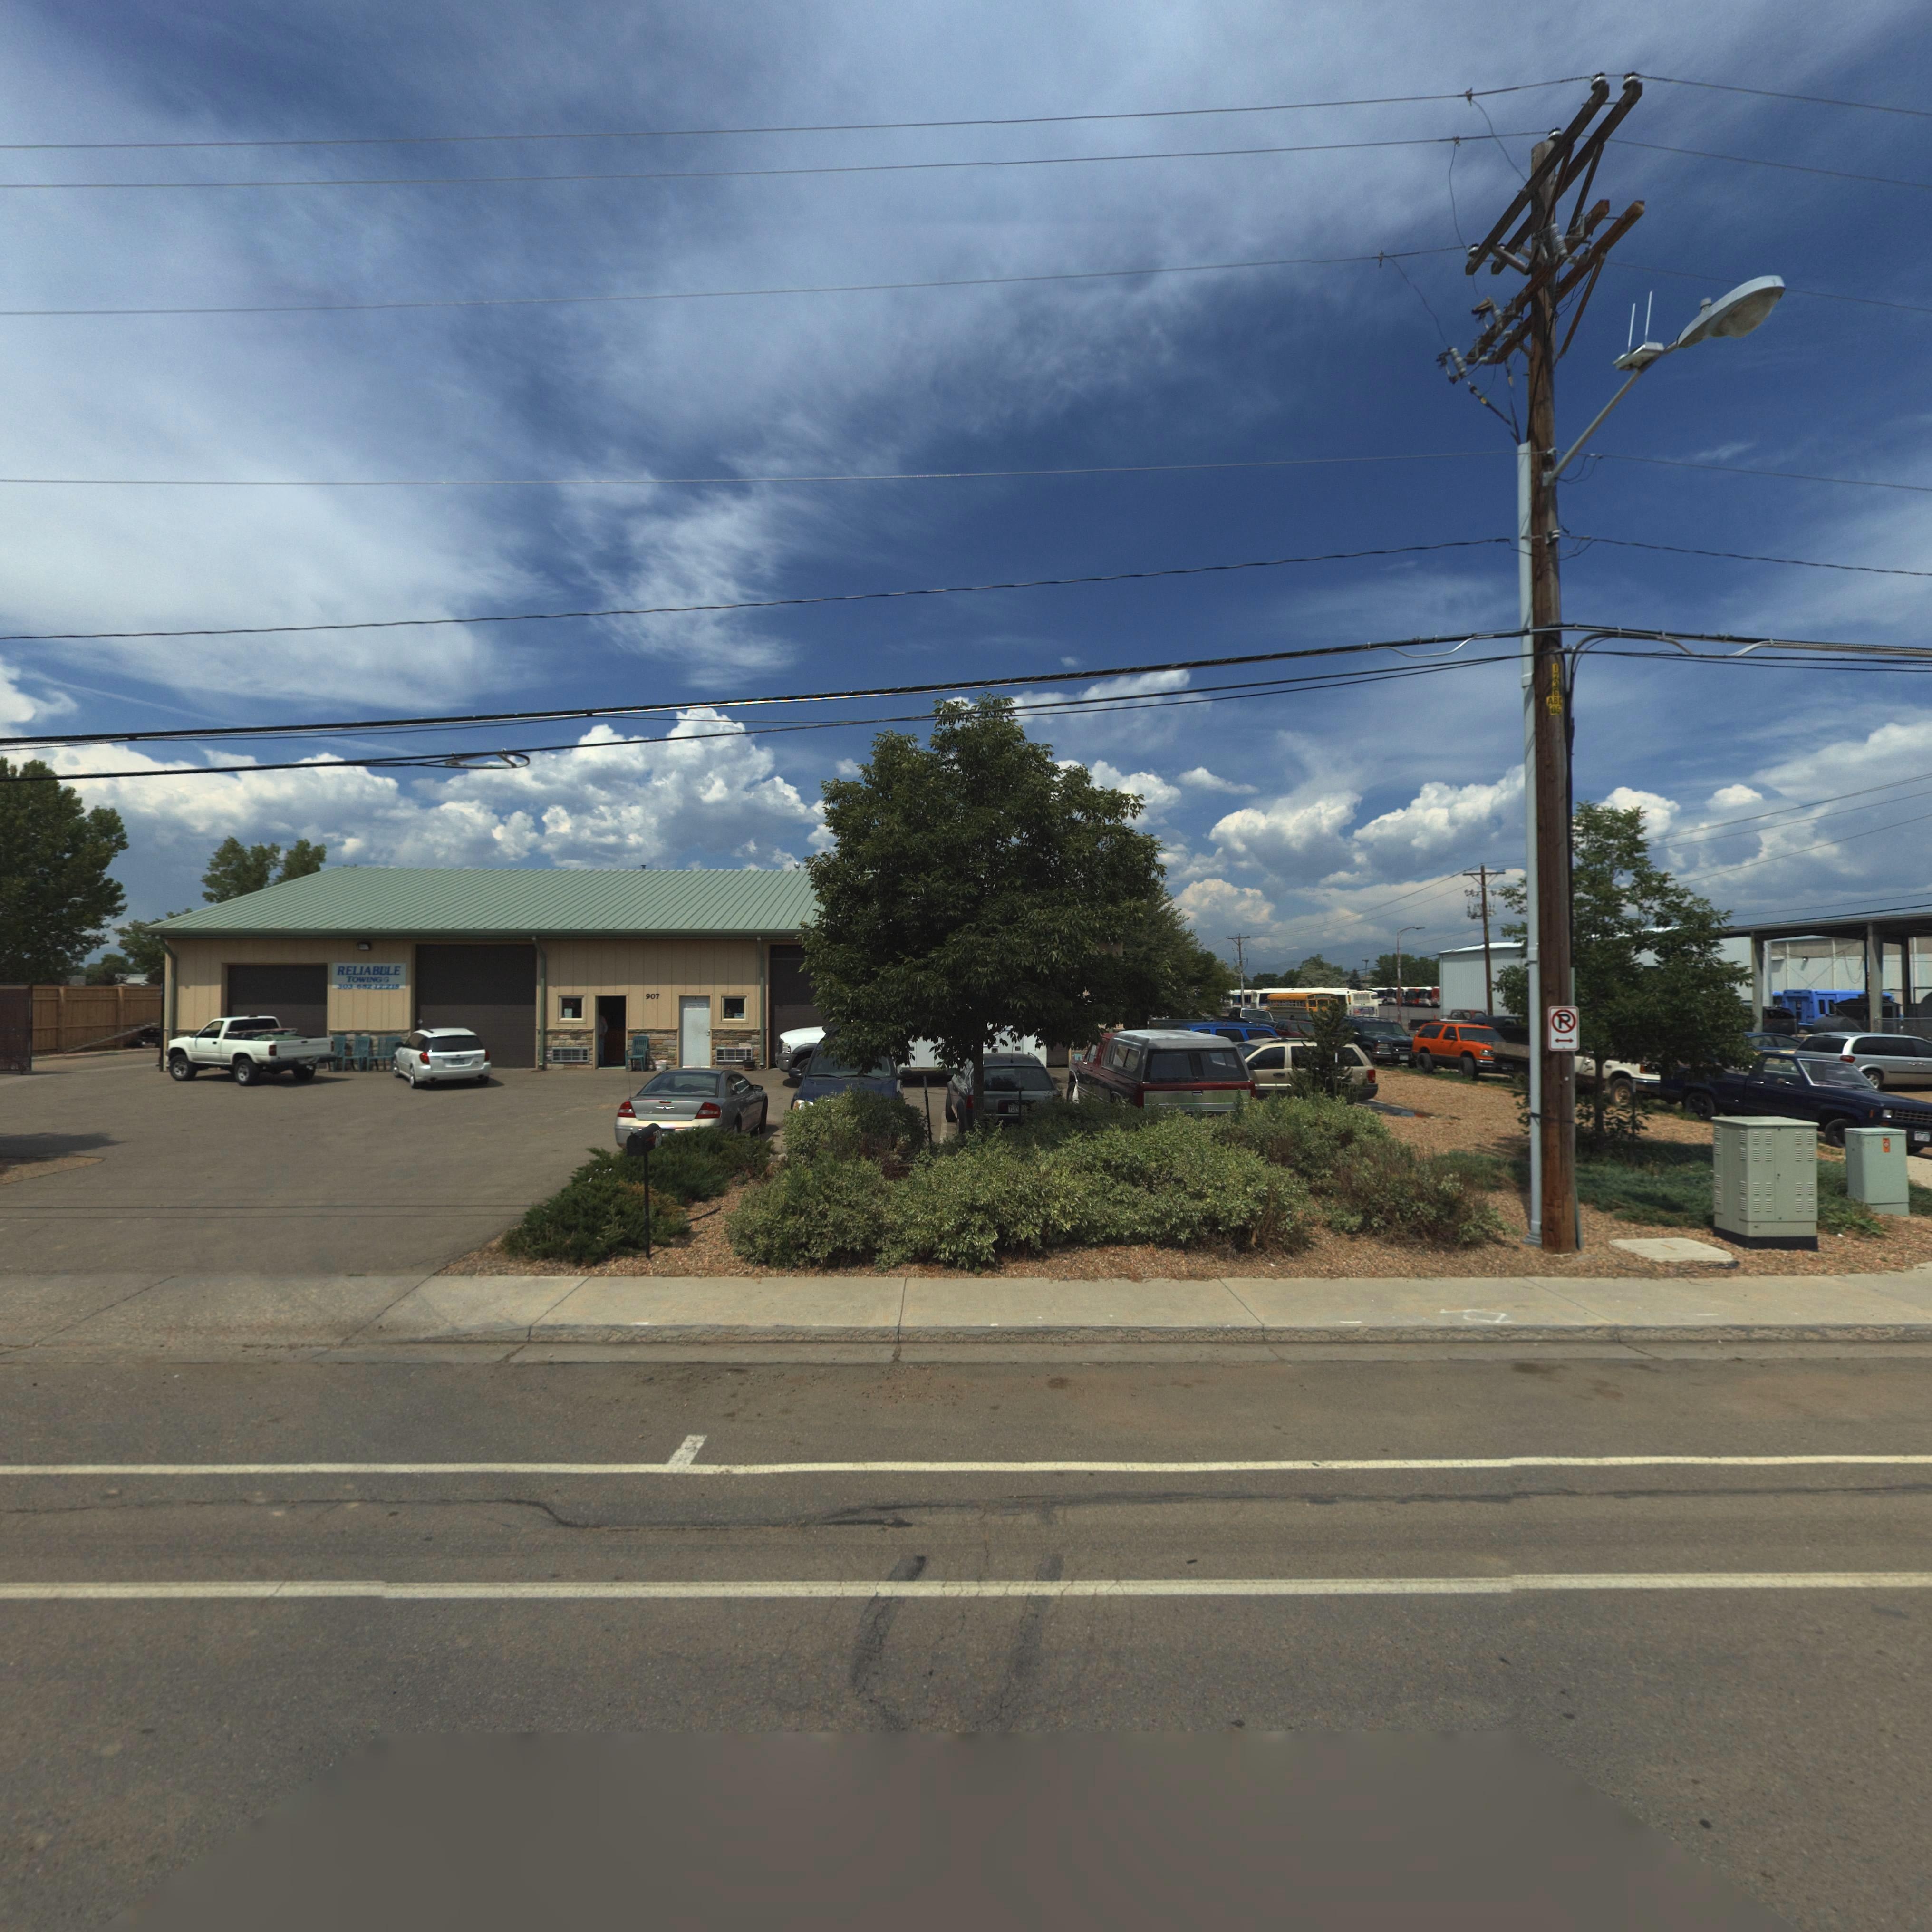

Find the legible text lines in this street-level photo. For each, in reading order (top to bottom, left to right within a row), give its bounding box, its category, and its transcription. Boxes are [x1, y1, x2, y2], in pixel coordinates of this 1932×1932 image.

[336, 966, 401, 975] BusinessName: RELIABLE
[346, 976, 383, 983] BusinessName: TOWING
[645, 993, 660, 999] StreetNumber: 907